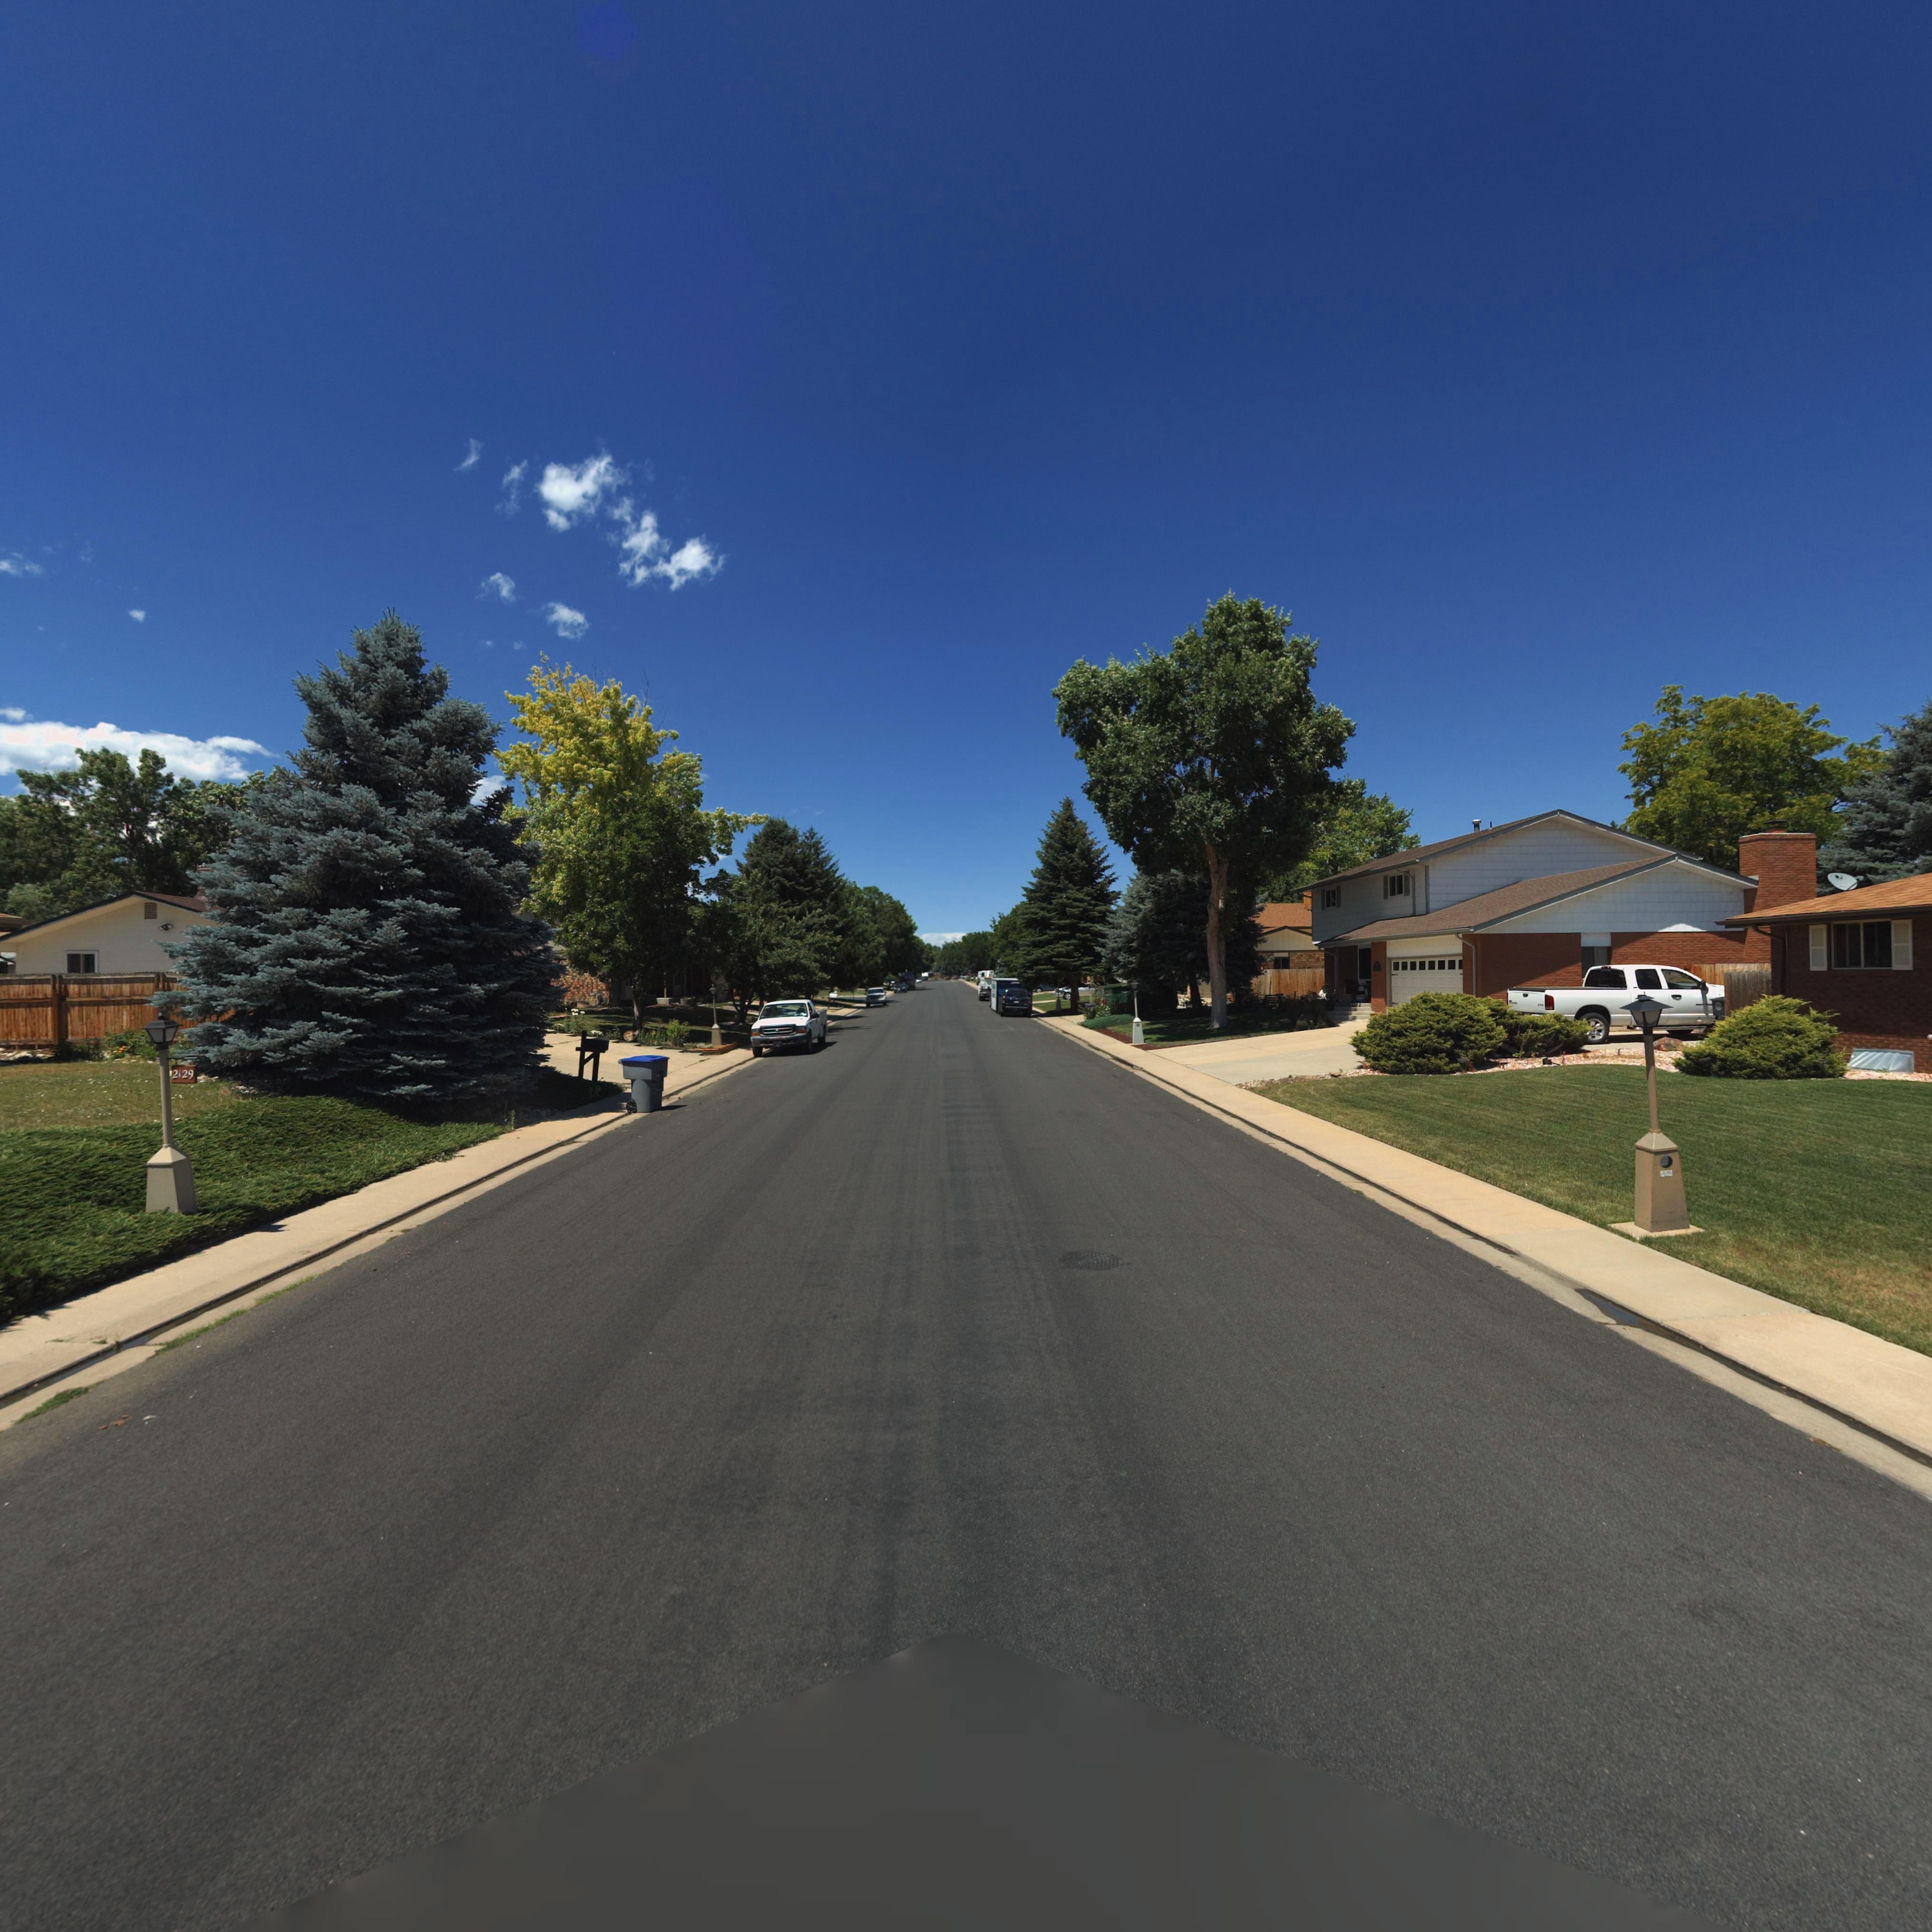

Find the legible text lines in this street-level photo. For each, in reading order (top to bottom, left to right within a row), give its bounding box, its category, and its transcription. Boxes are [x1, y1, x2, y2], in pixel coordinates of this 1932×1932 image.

[172, 1069, 194, 1080] StreetNumber: 2129